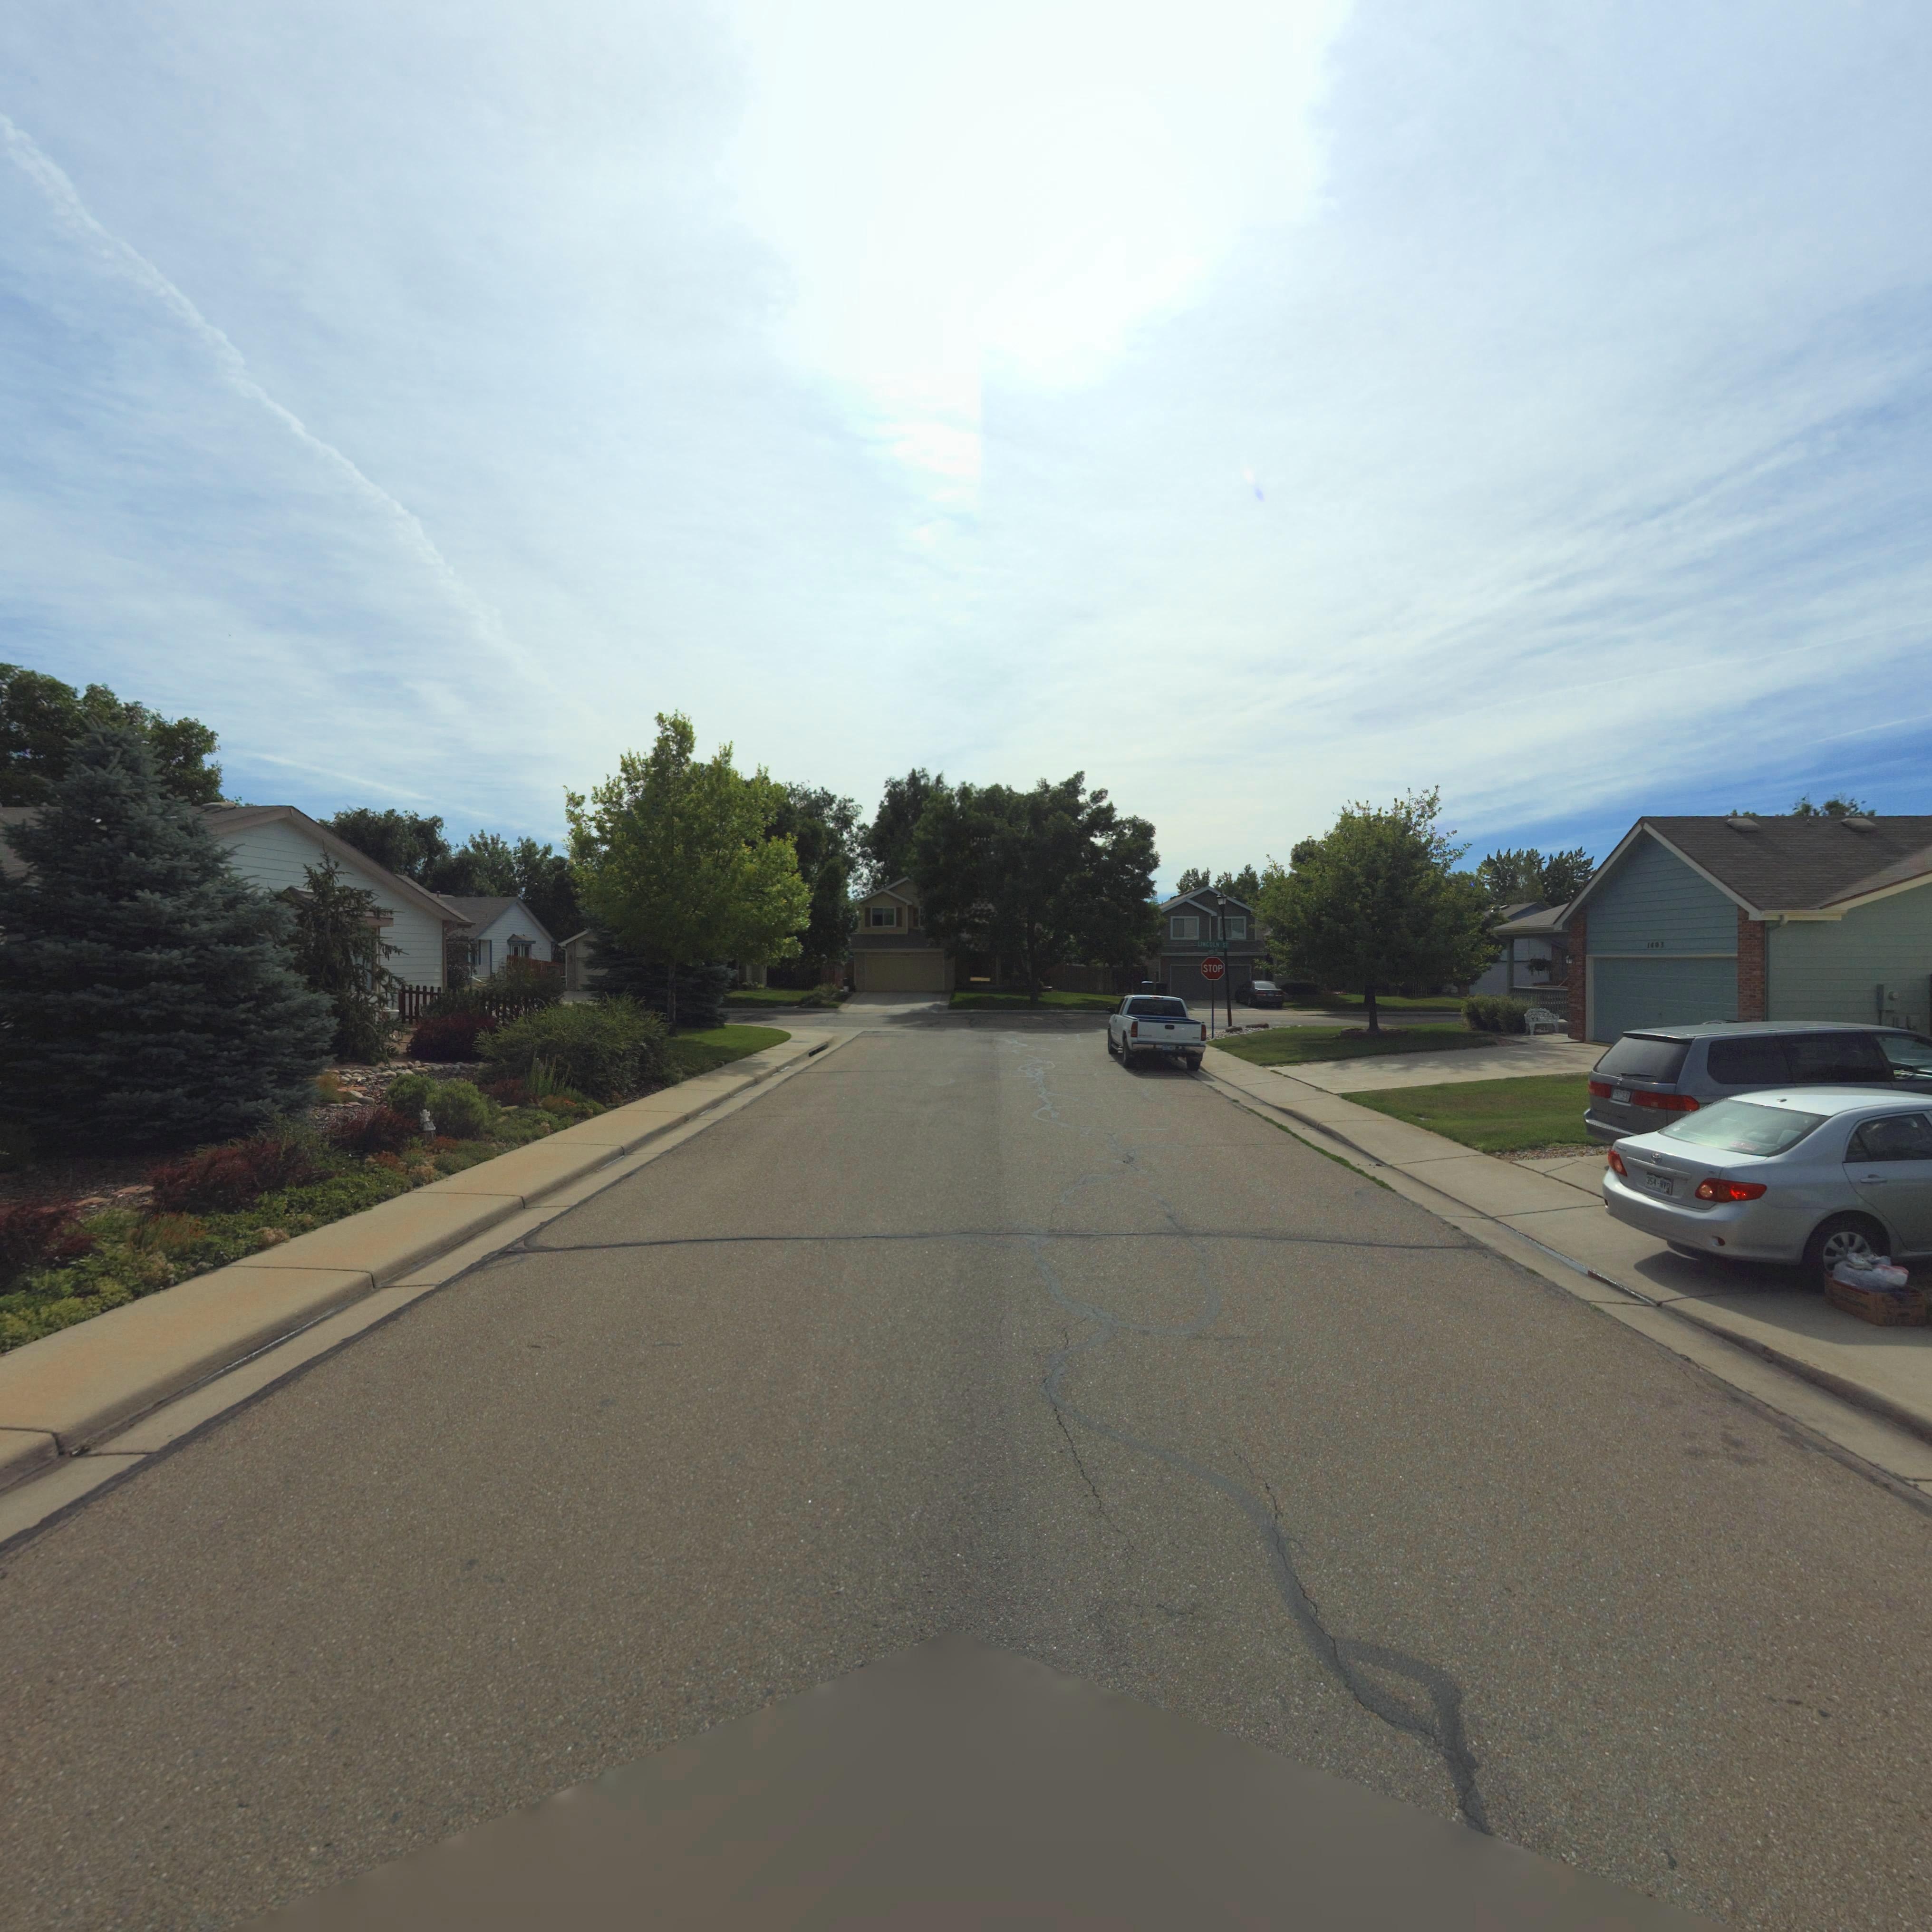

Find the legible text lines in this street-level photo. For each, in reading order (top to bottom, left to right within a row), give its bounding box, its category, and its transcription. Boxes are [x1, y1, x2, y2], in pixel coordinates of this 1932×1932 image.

[1198, 941, 1228, 947] StreetName: LINCOLN ST
[1646, 941, 1664, 948] StreetNumber: 1403